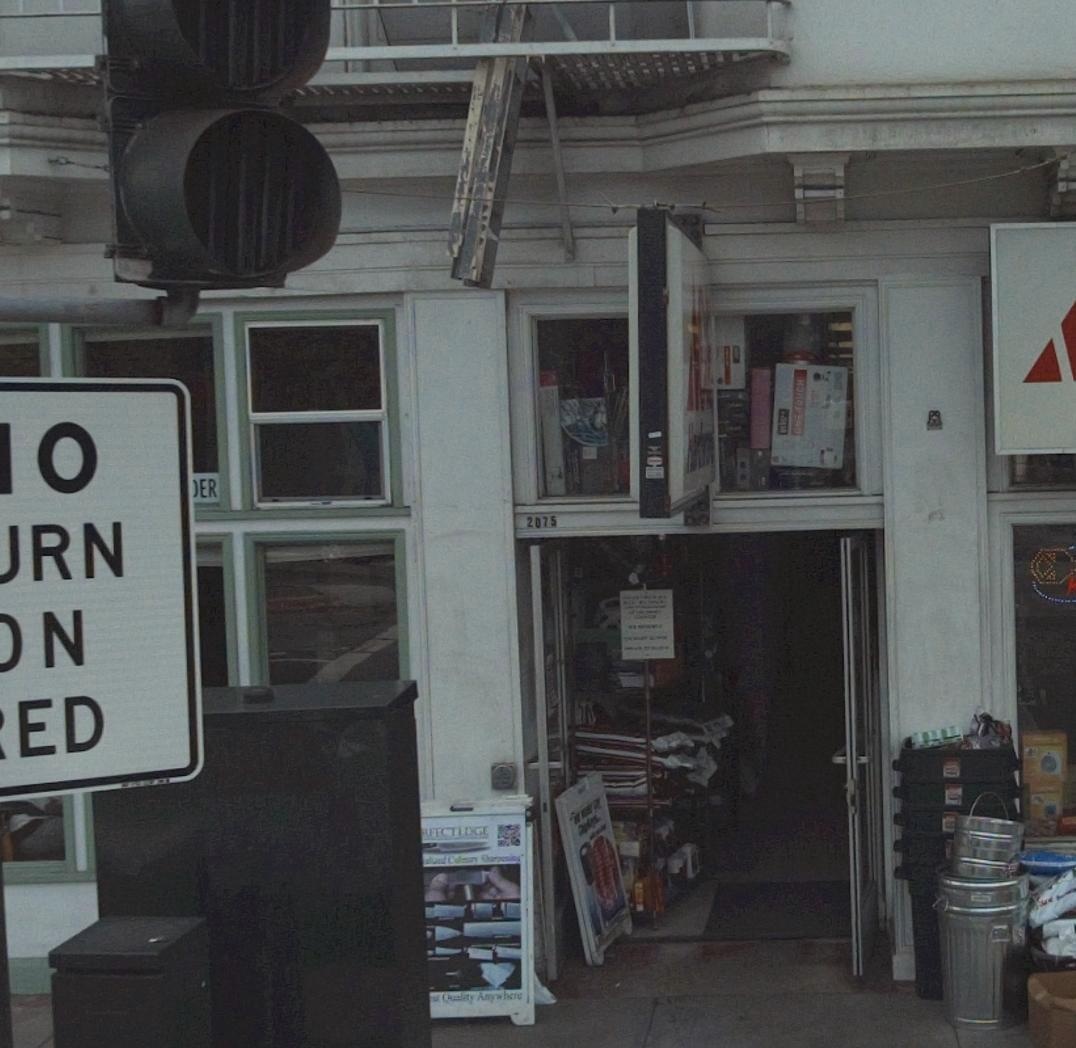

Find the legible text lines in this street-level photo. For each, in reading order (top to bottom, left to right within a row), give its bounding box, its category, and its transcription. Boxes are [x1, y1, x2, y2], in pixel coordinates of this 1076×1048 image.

[31, 418, 102, 499] None: O
[27, 518, 127, 585] None: RN
[196, 475, 220, 502] StreetName: ER
[524, 512, 560, 531] StreetNumber: 2075
[39, 605, 88, 671] None: N
[16, 691, 108, 762] None: ED